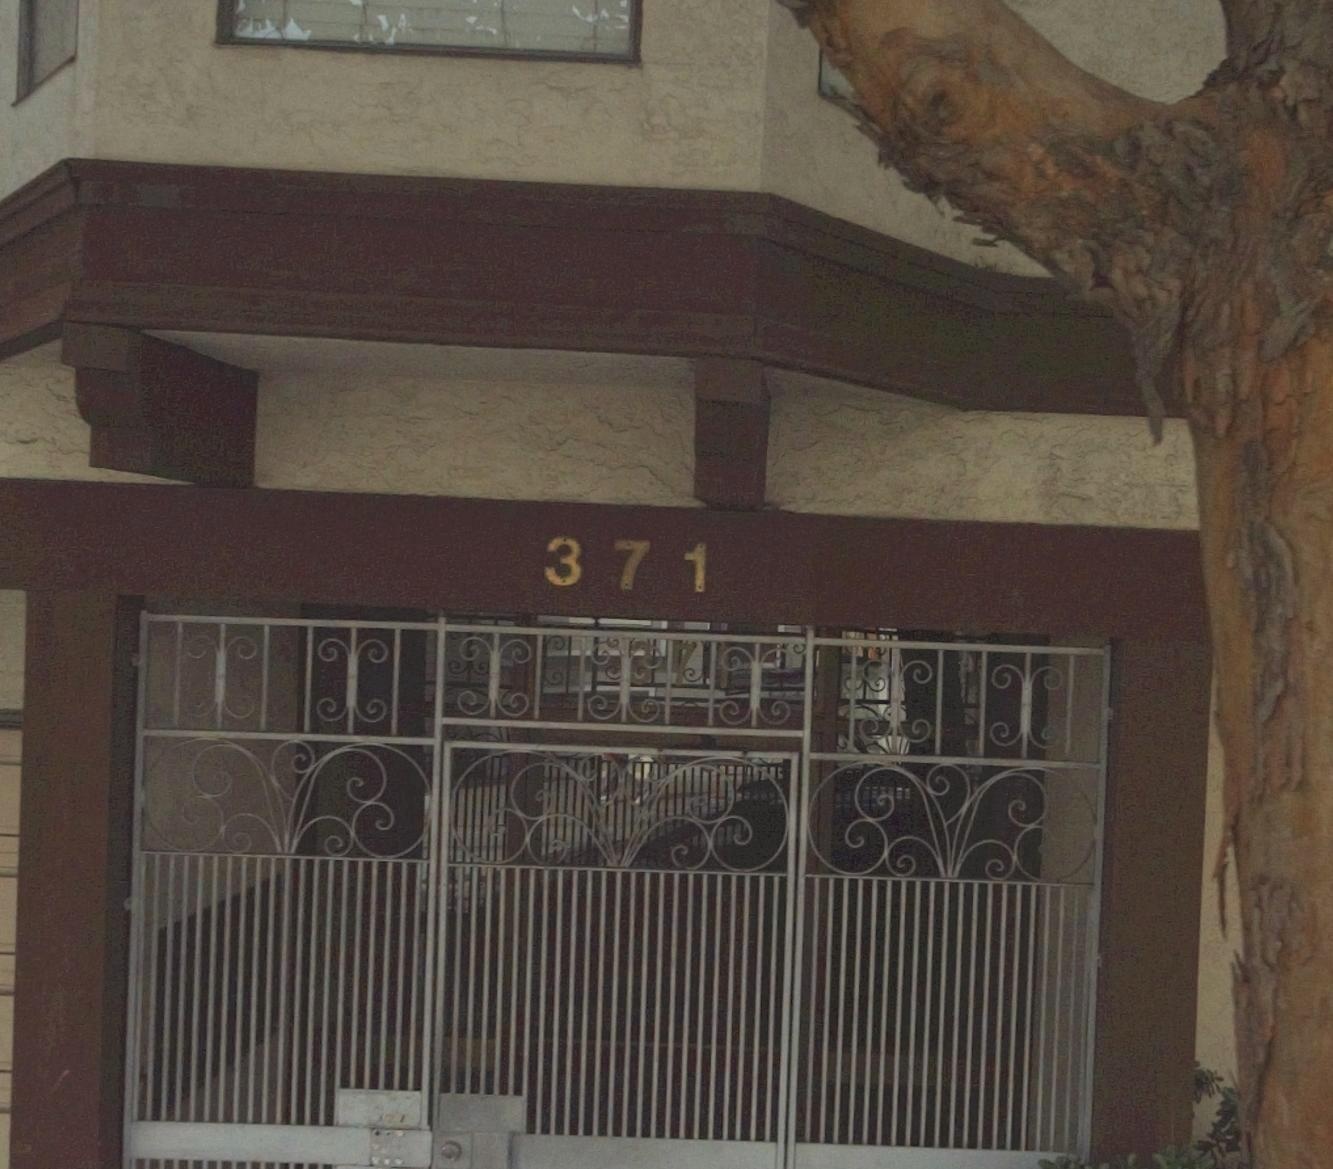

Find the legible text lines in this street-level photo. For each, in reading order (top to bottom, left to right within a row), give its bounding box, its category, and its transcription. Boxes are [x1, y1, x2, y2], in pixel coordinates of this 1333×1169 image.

[542, 532, 712, 595] StreetNumber: 371